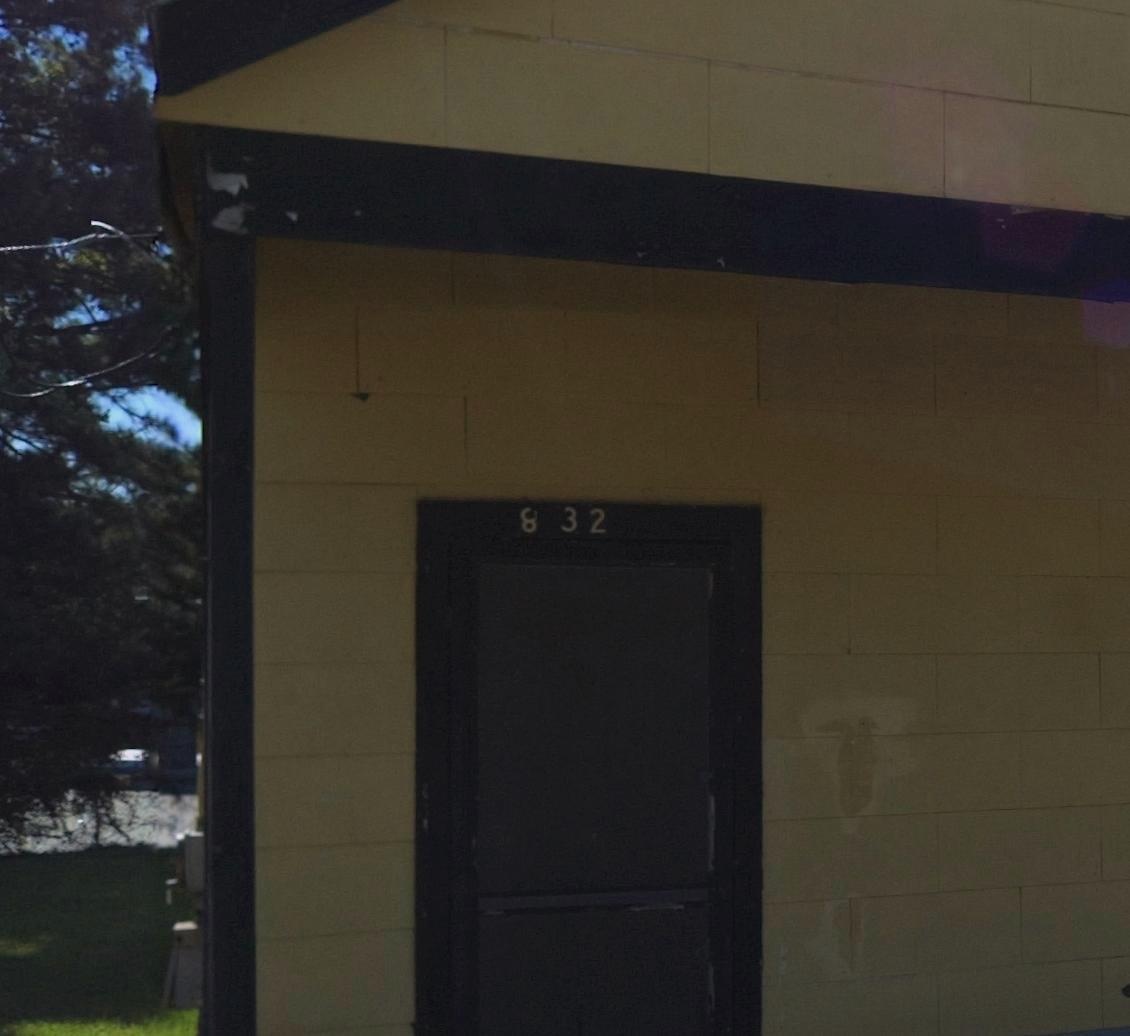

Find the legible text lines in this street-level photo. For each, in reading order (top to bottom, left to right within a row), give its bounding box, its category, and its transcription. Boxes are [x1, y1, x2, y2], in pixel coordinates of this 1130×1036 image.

[515, 502, 612, 539] StreetNumber: 832